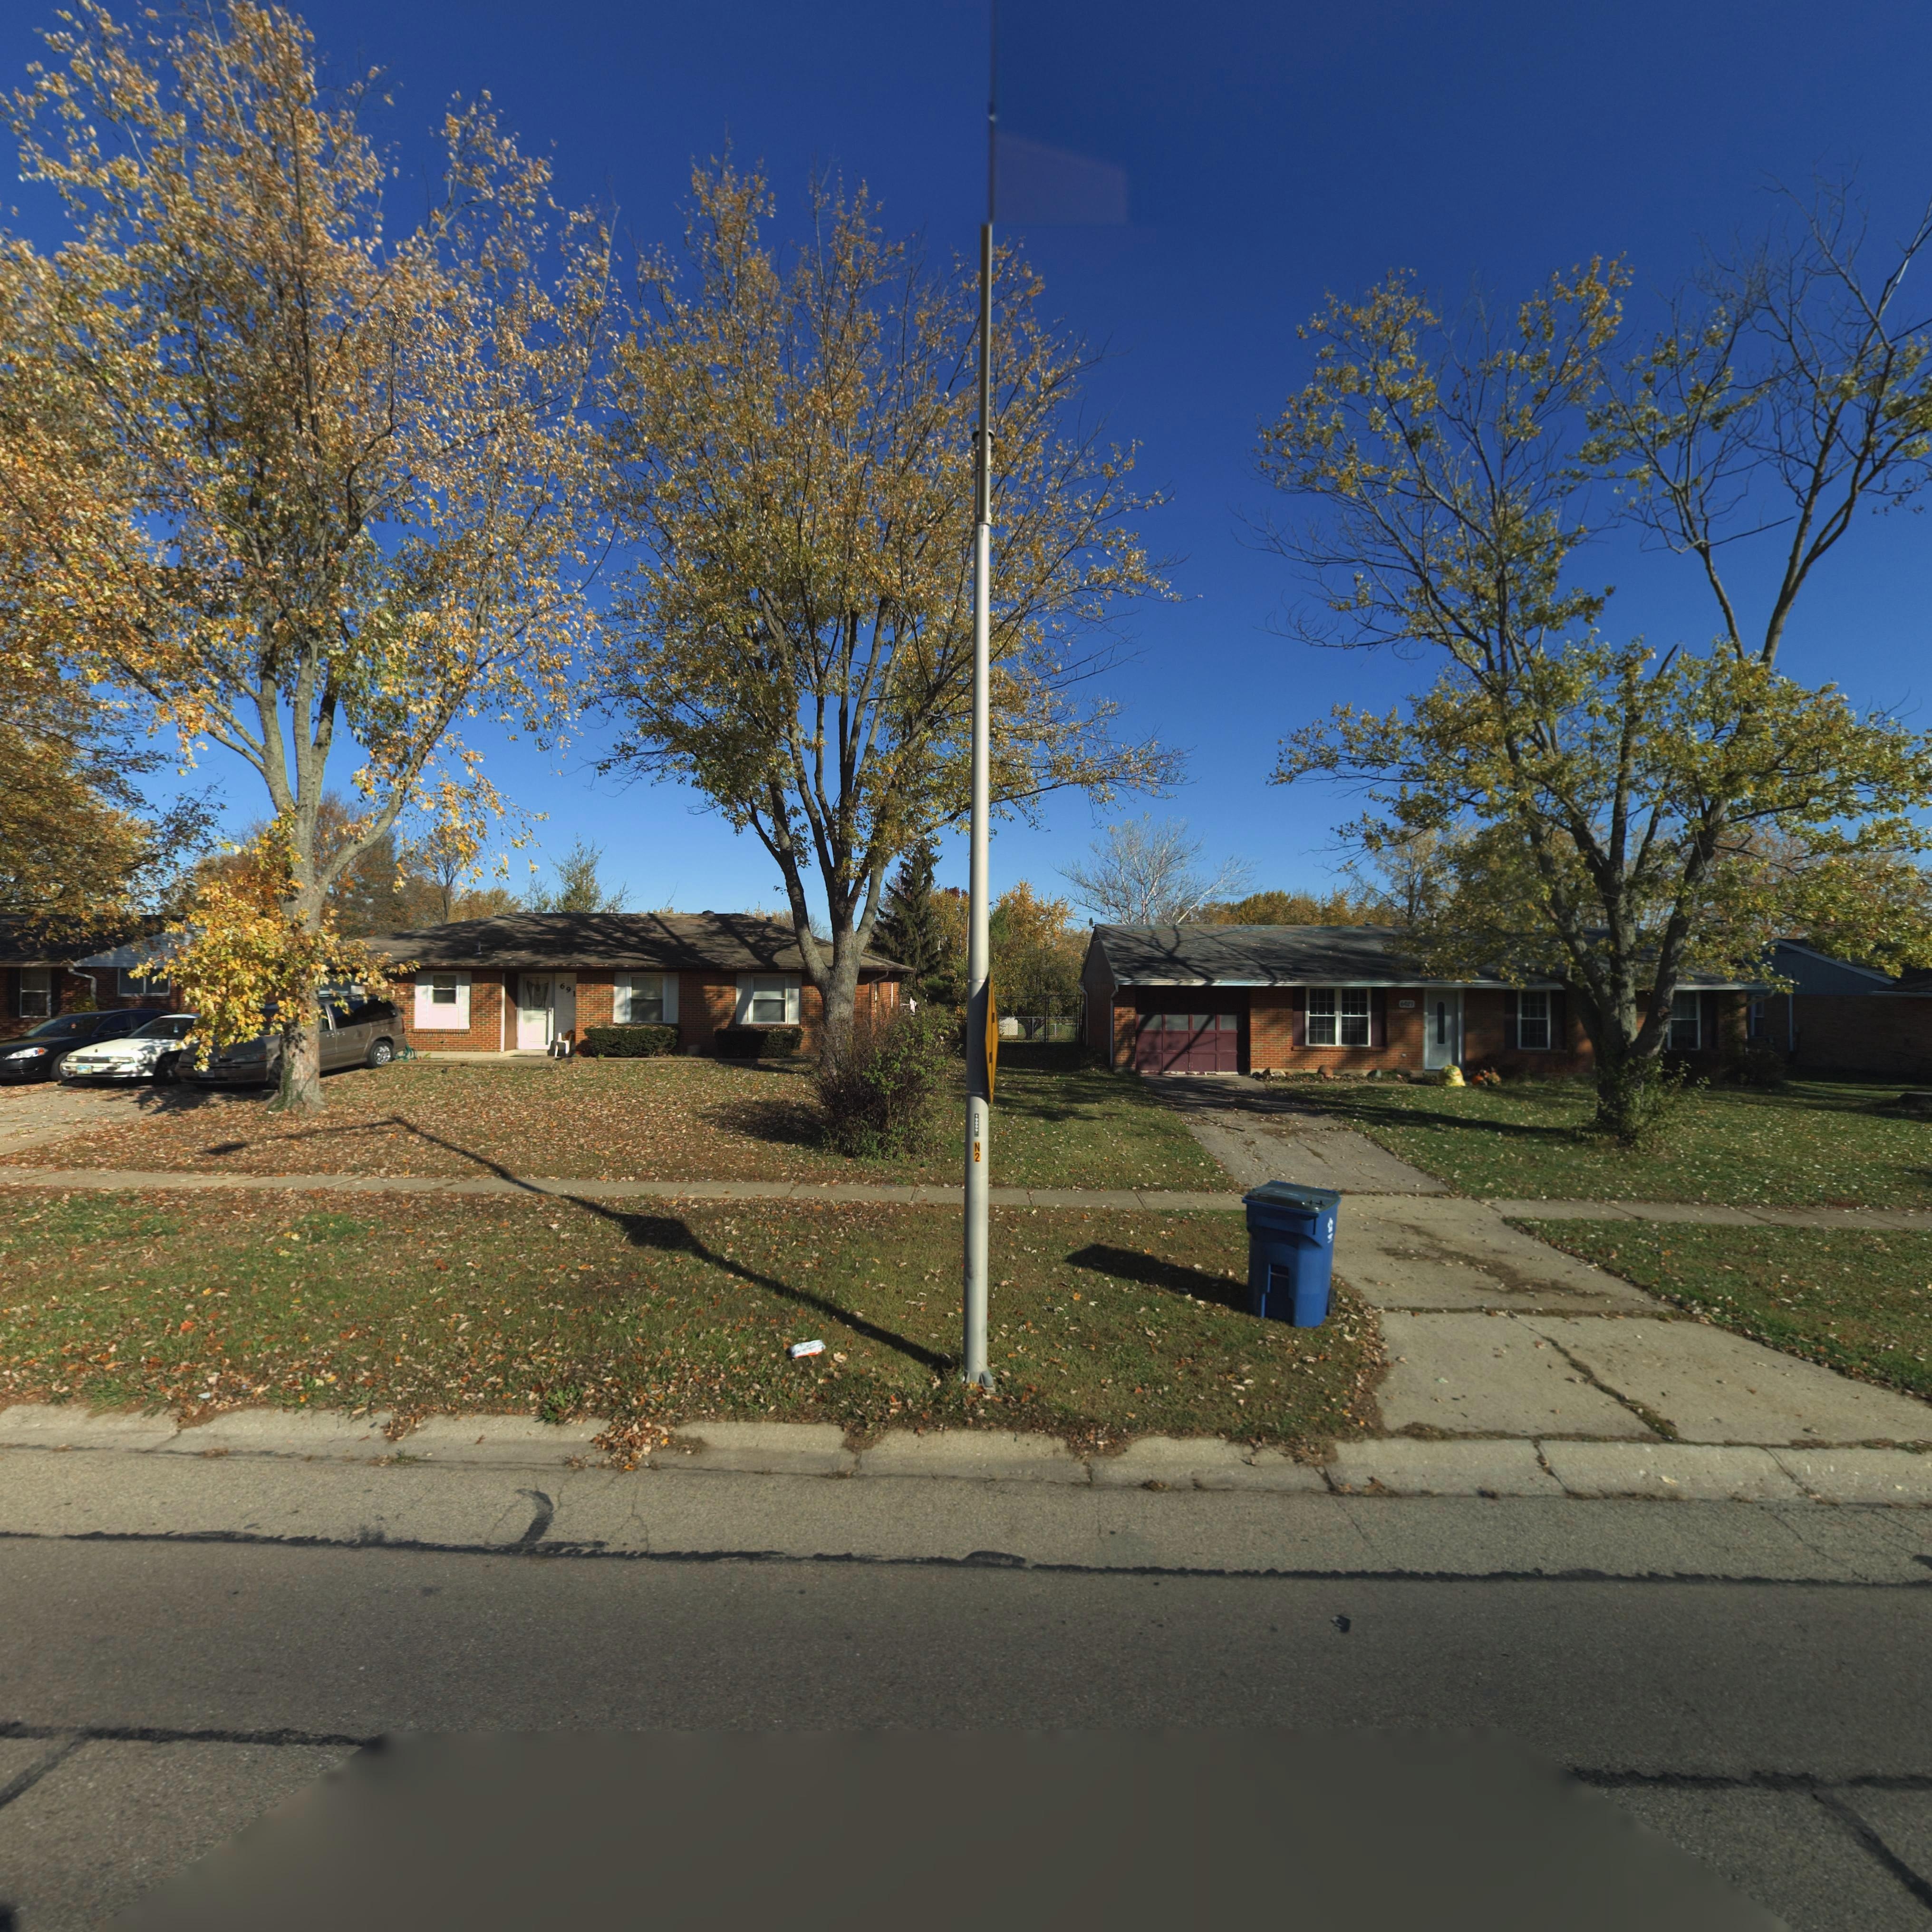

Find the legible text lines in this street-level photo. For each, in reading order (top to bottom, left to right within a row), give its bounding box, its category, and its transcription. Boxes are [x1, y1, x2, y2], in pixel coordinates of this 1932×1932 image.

[559, 982, 576, 998] StreetNumber: 691
[1399, 1000, 1415, 1009] StreetNumber: 6**1